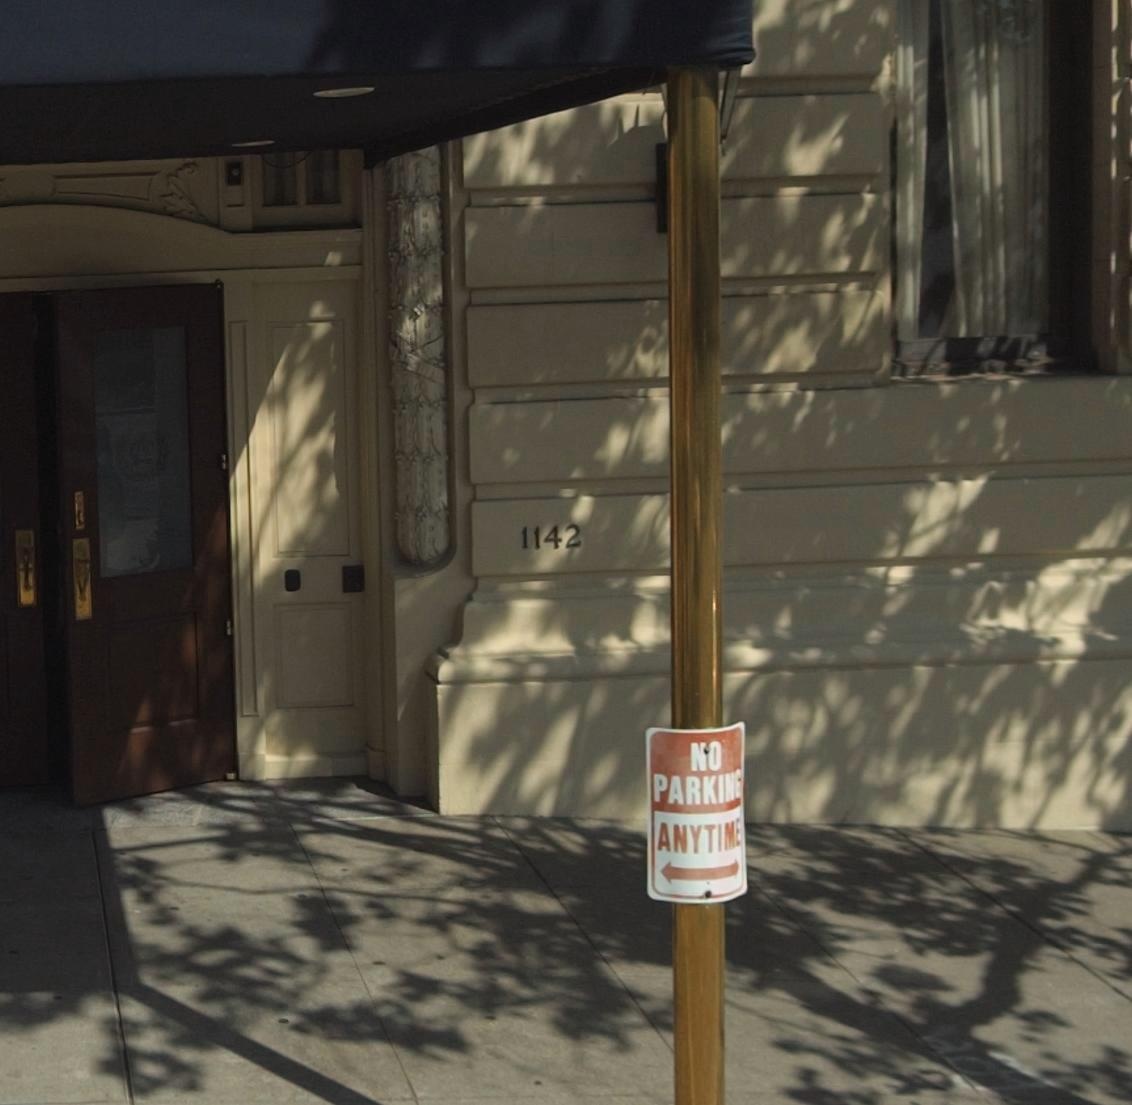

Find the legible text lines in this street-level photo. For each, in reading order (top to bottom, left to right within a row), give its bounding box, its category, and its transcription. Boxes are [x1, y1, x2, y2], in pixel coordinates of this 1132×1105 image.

[516, 521, 584, 553] StreetNumber: 1142
[688, 739, 725, 775] None: NO
[652, 767, 743, 808] None: PARKING
[656, 817, 745, 855] None: ANYTIME